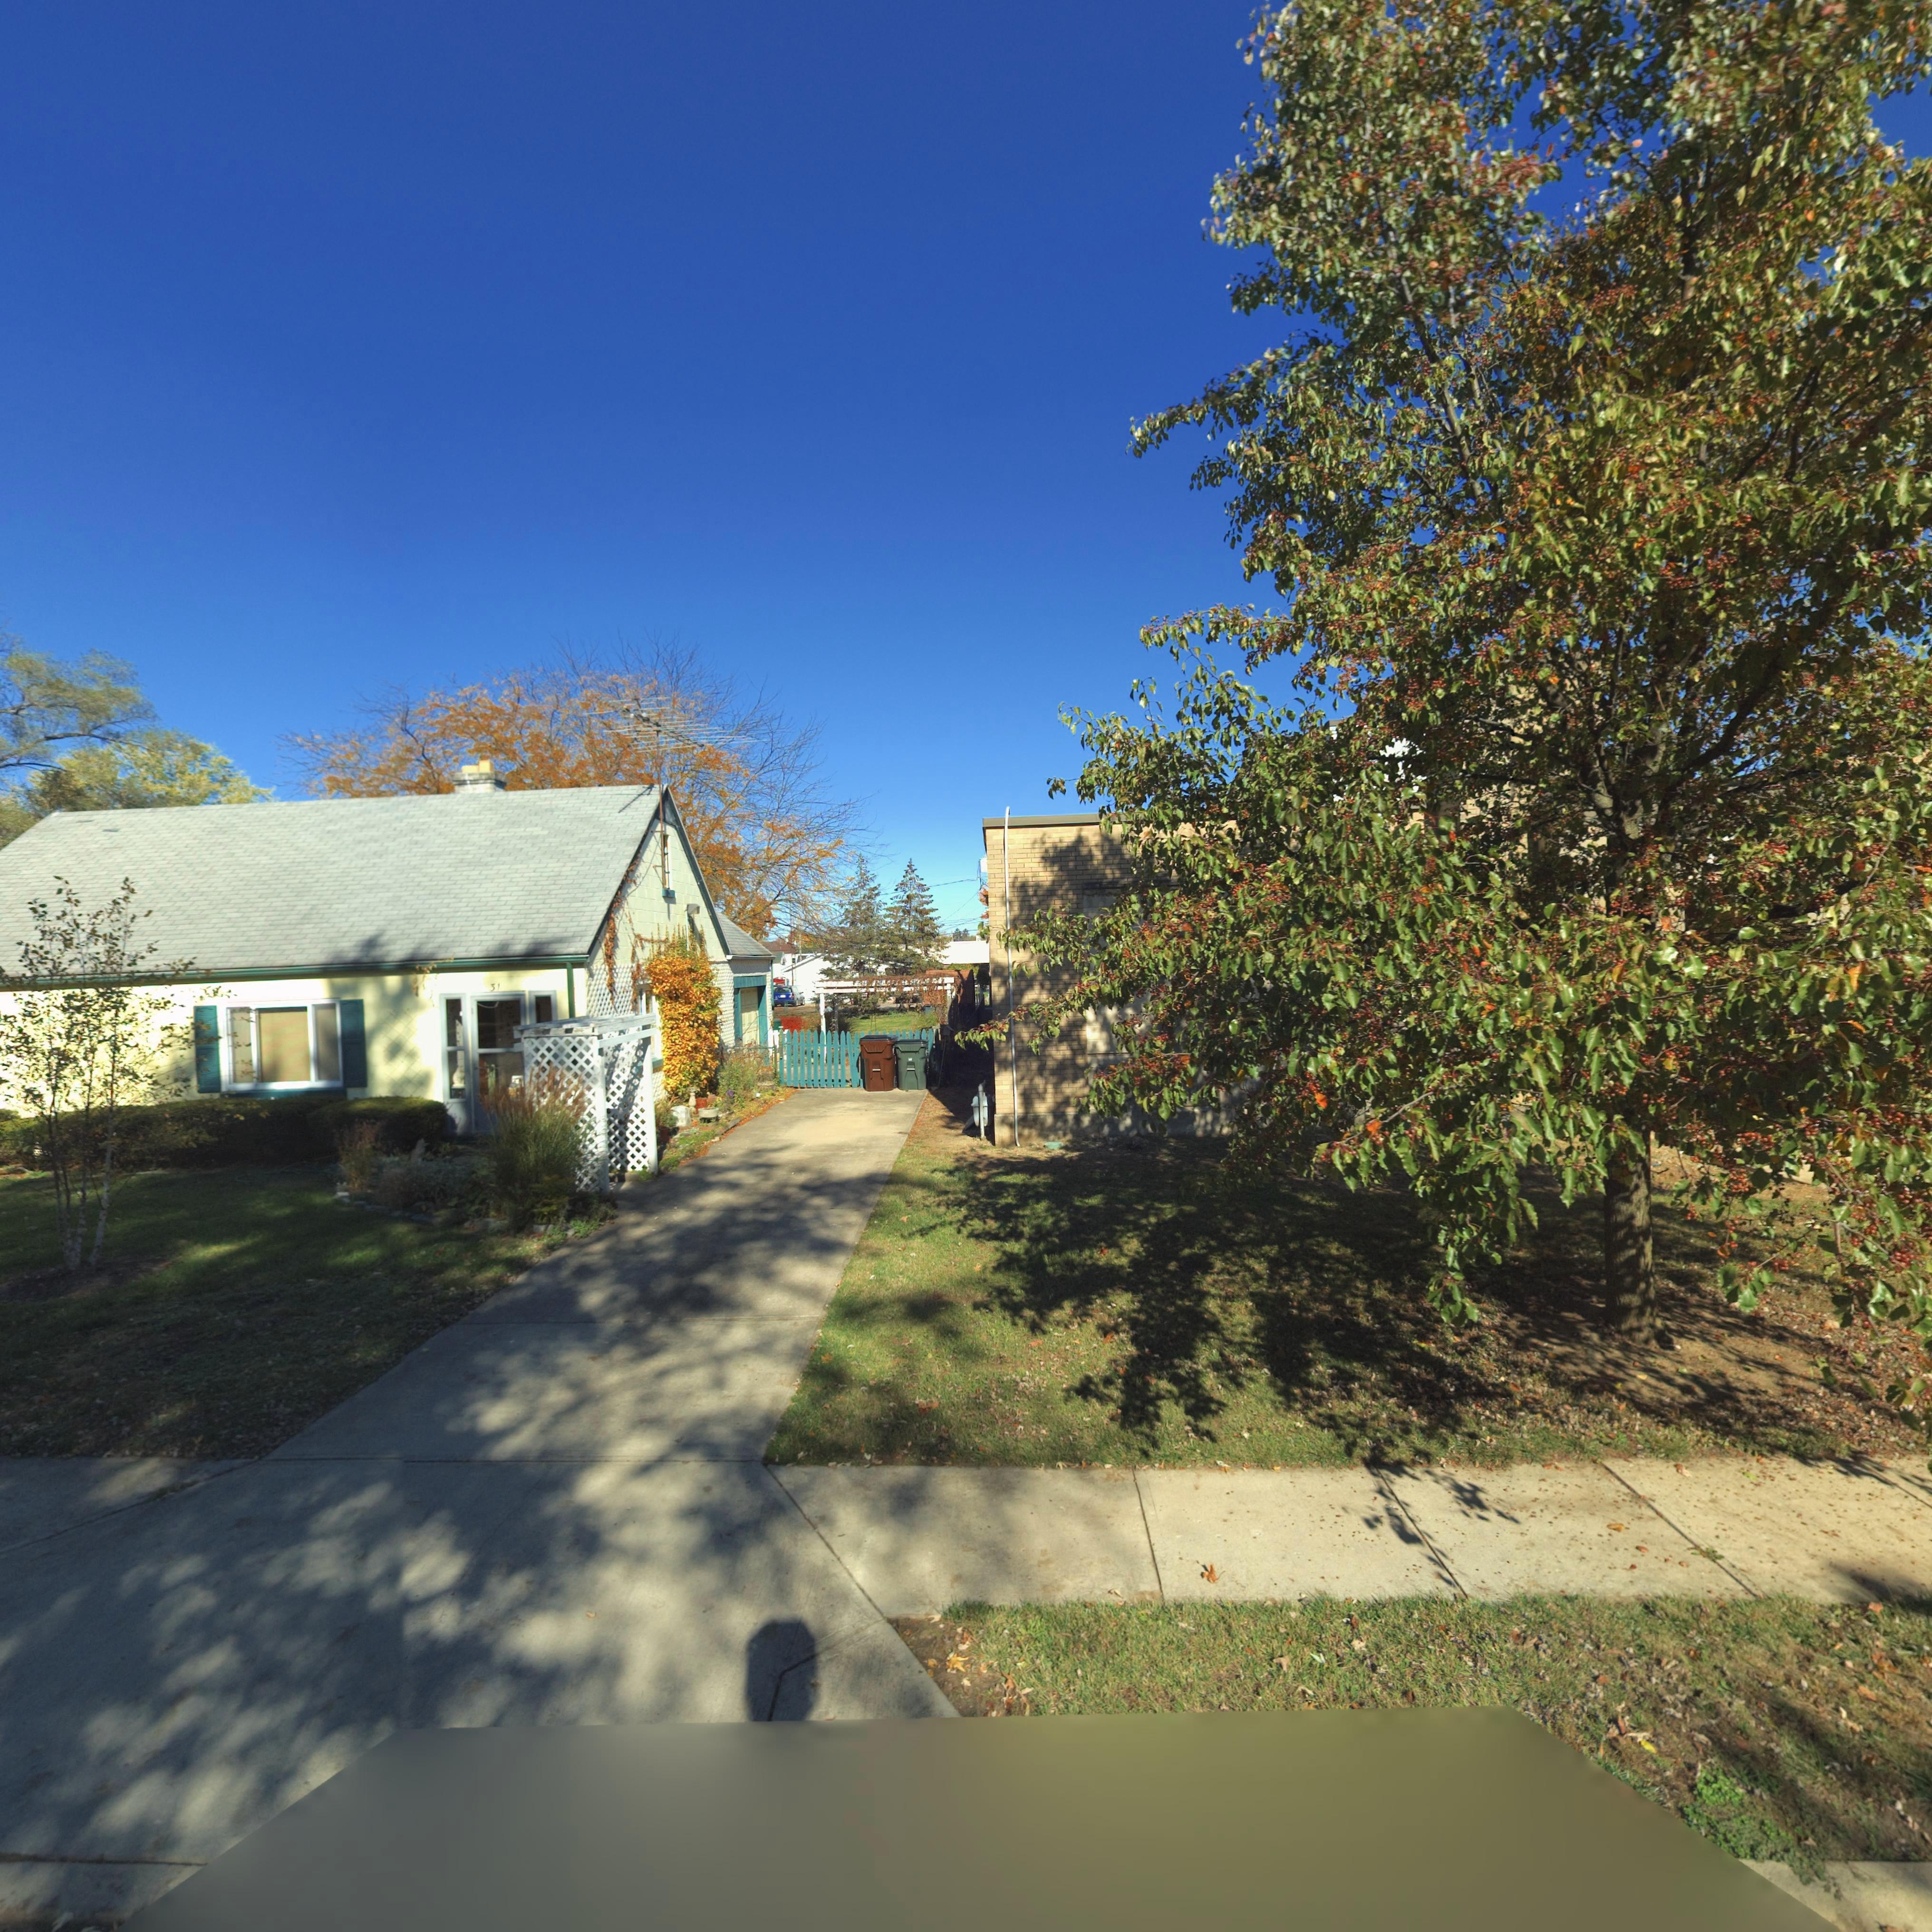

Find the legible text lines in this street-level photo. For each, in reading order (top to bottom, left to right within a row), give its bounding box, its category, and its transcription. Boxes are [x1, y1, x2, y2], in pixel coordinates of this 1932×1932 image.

[489, 982, 501, 993] StreetNumber: 31